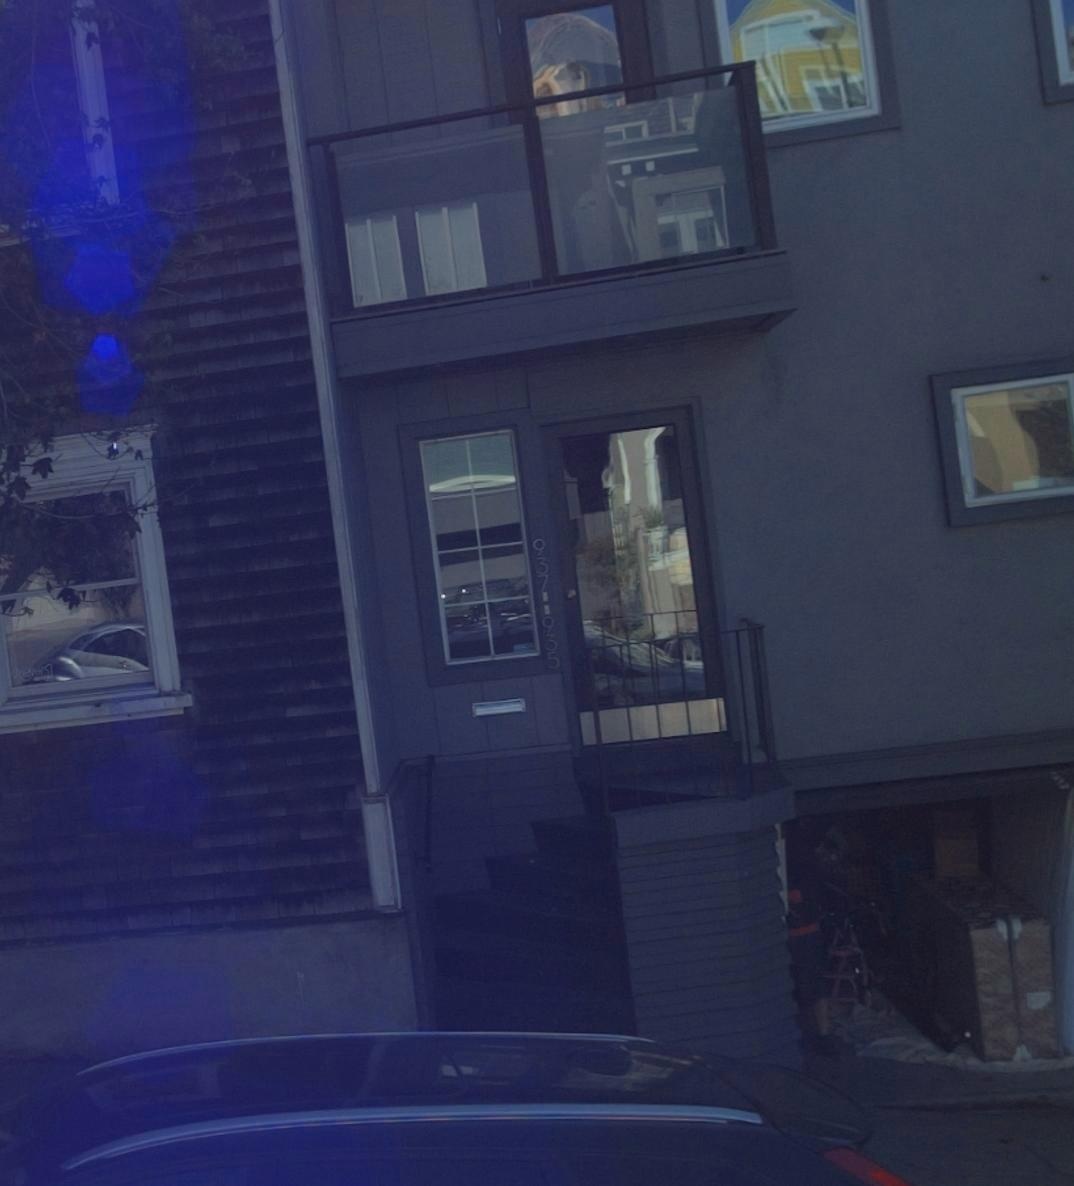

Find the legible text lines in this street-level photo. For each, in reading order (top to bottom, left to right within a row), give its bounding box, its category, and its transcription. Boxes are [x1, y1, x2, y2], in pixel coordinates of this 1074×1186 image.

[531, 538, 552, 593] StreetNumber: 937
[539, 615, 562, 670] StreetNumber: 935